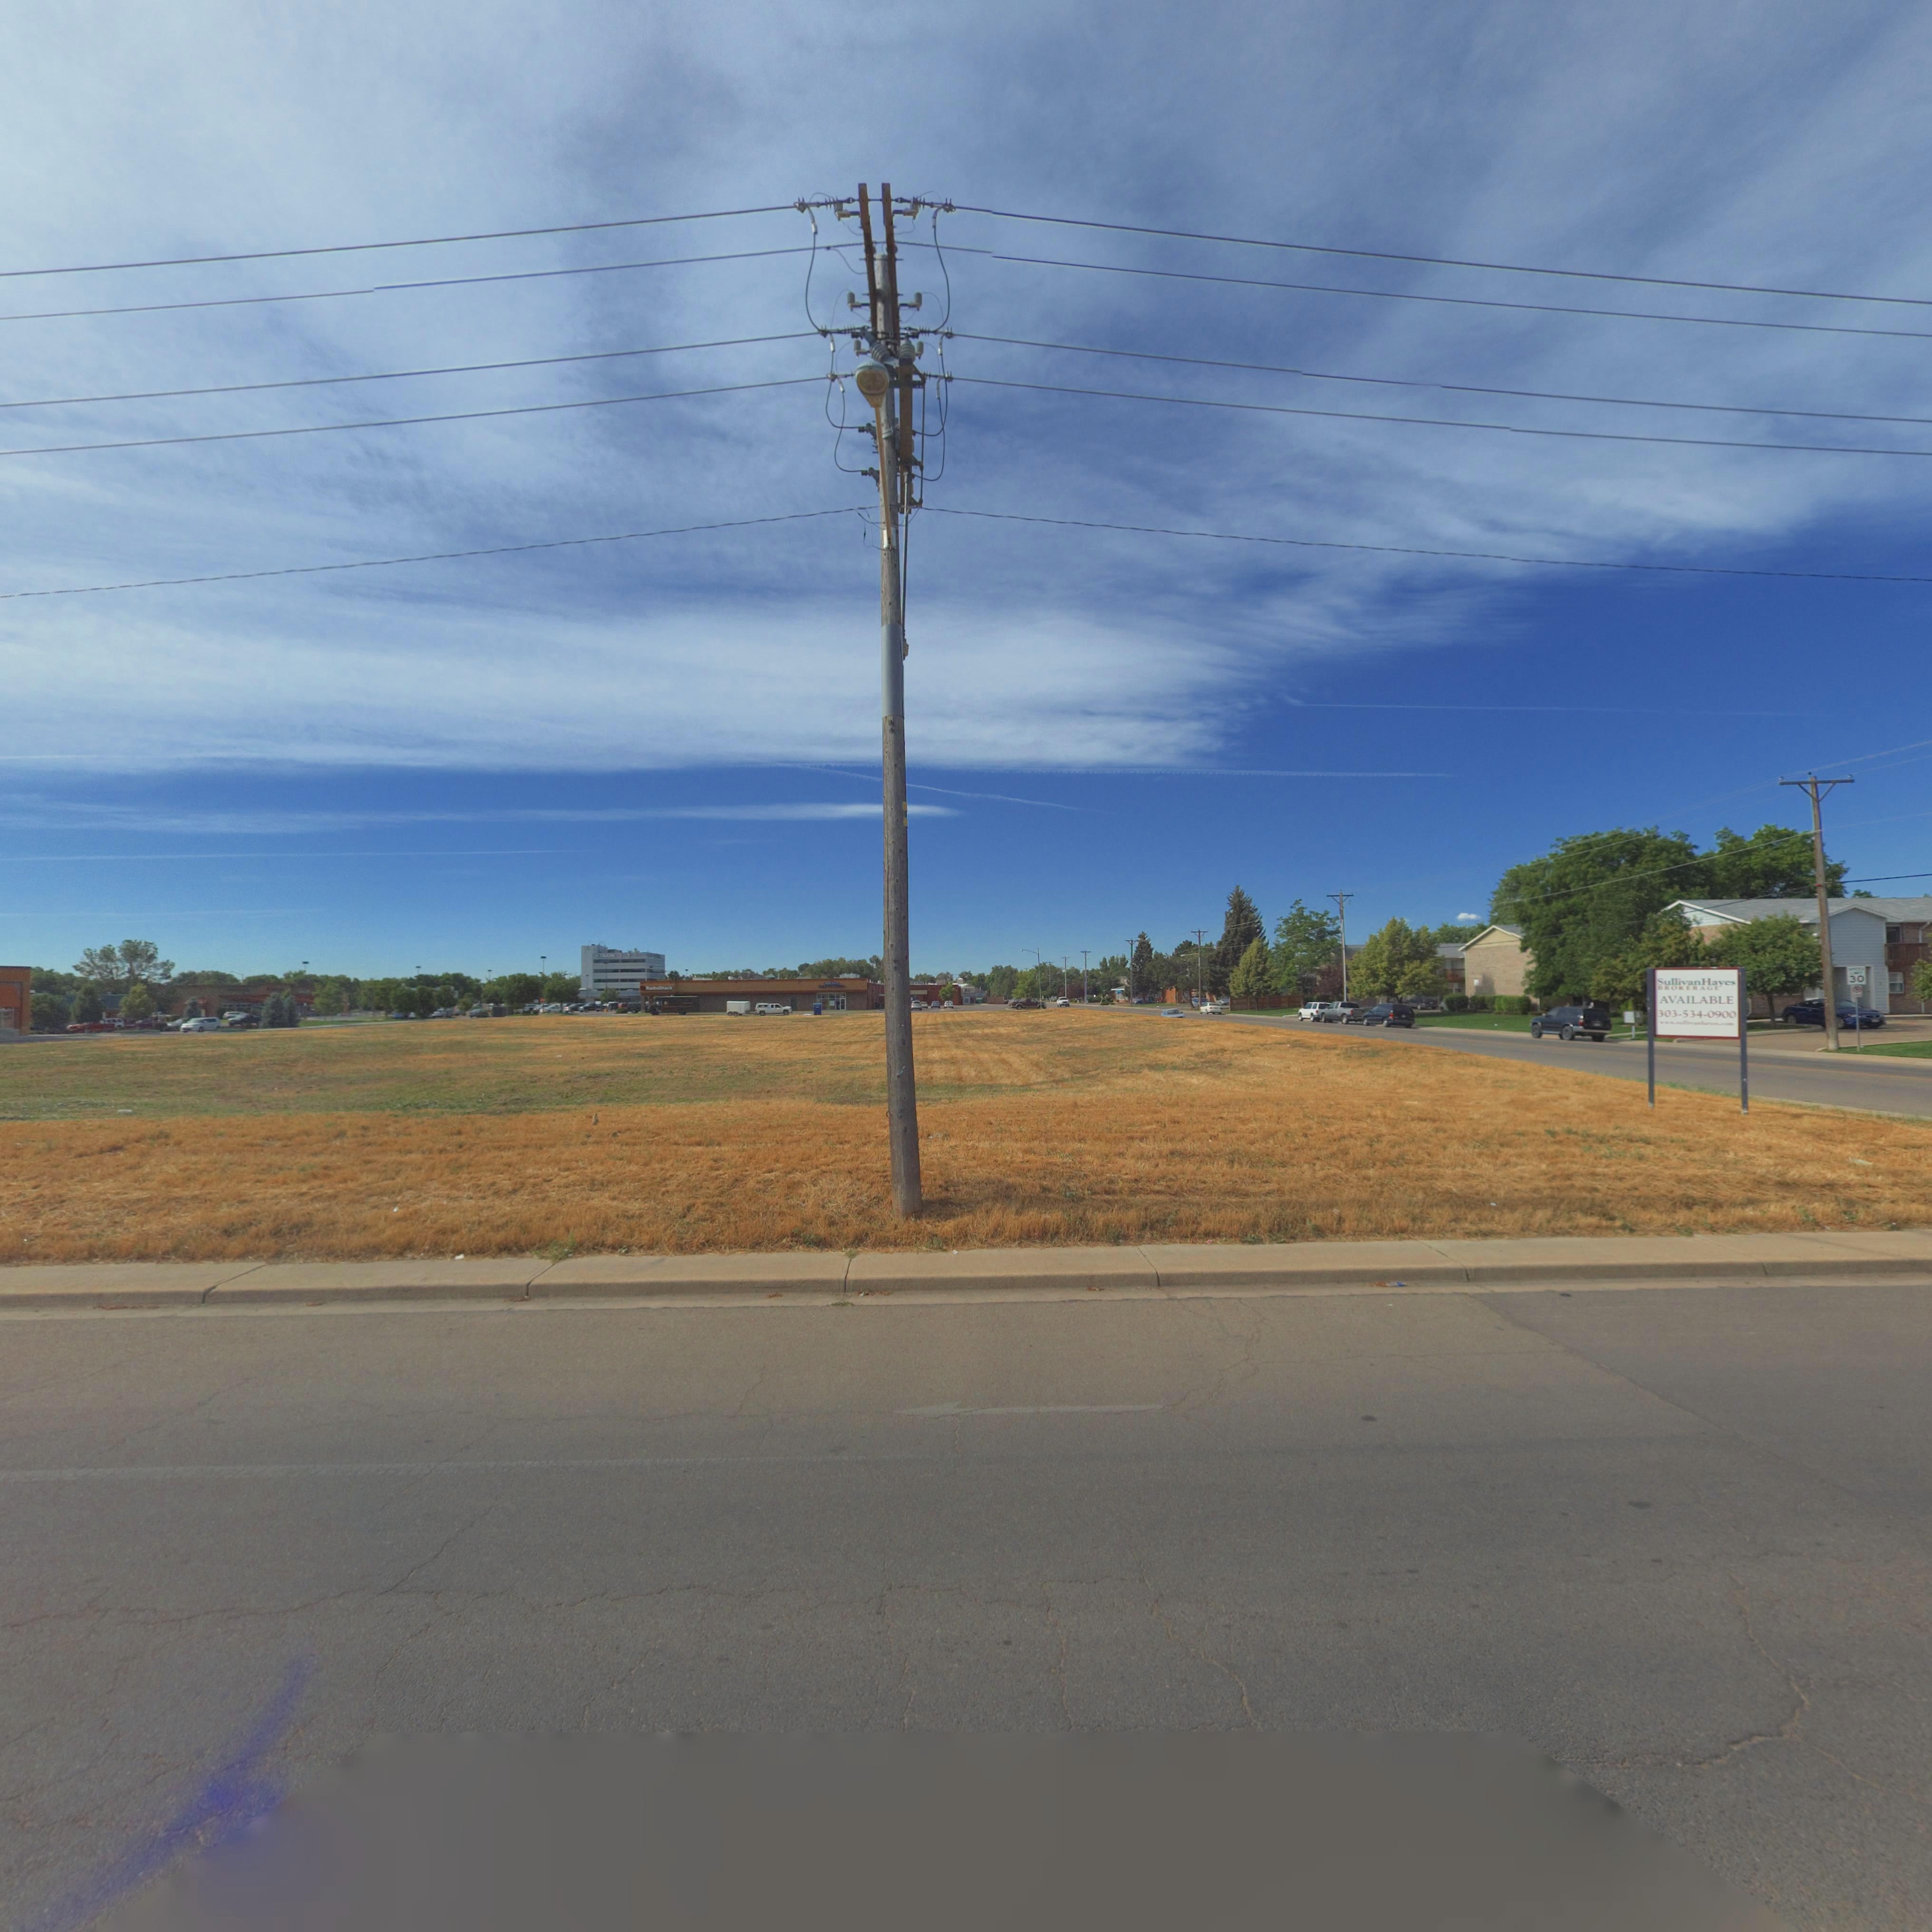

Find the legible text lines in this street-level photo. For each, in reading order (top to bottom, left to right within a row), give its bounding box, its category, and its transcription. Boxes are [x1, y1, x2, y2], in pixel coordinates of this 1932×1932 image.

[645, 985, 673, 990] BusinessName: RadioShack